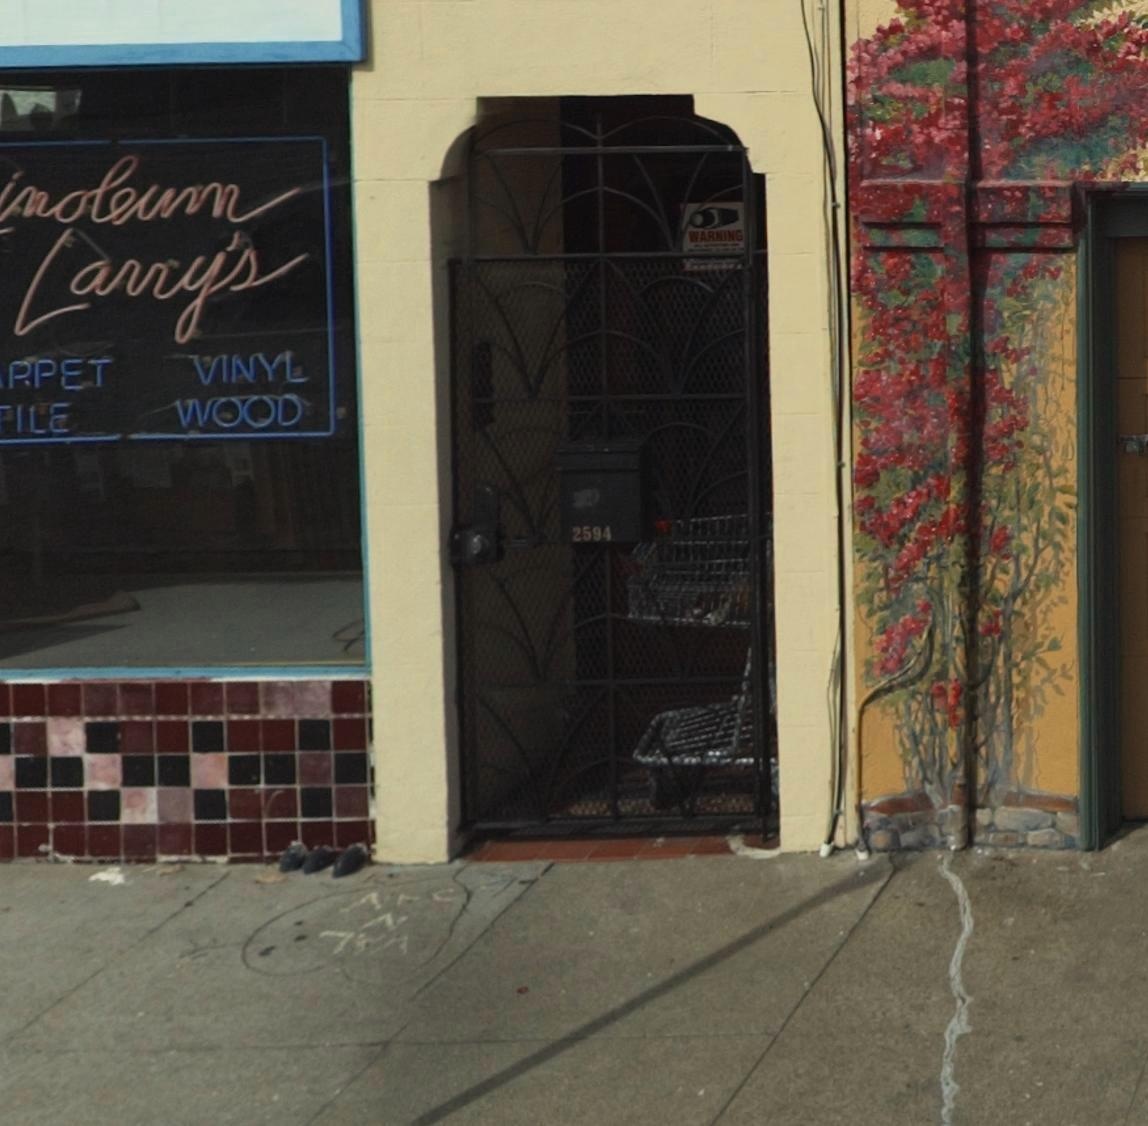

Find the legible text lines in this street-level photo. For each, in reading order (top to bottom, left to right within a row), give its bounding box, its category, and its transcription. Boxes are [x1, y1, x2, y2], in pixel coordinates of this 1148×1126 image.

[20, 152, 303, 226] BusinessName: noleum
[689, 228, 743, 243] None: WARNING
[10, 226, 315, 346] BusinessName: Larry's
[8, 358, 113, 391] None: RPET
[188, 349, 312, 387] None: VINYL
[15, 402, 72, 435] None: ILE
[173, 391, 304, 429] None: WOOD
[572, 525, 611, 542] StreetNumber: 2594